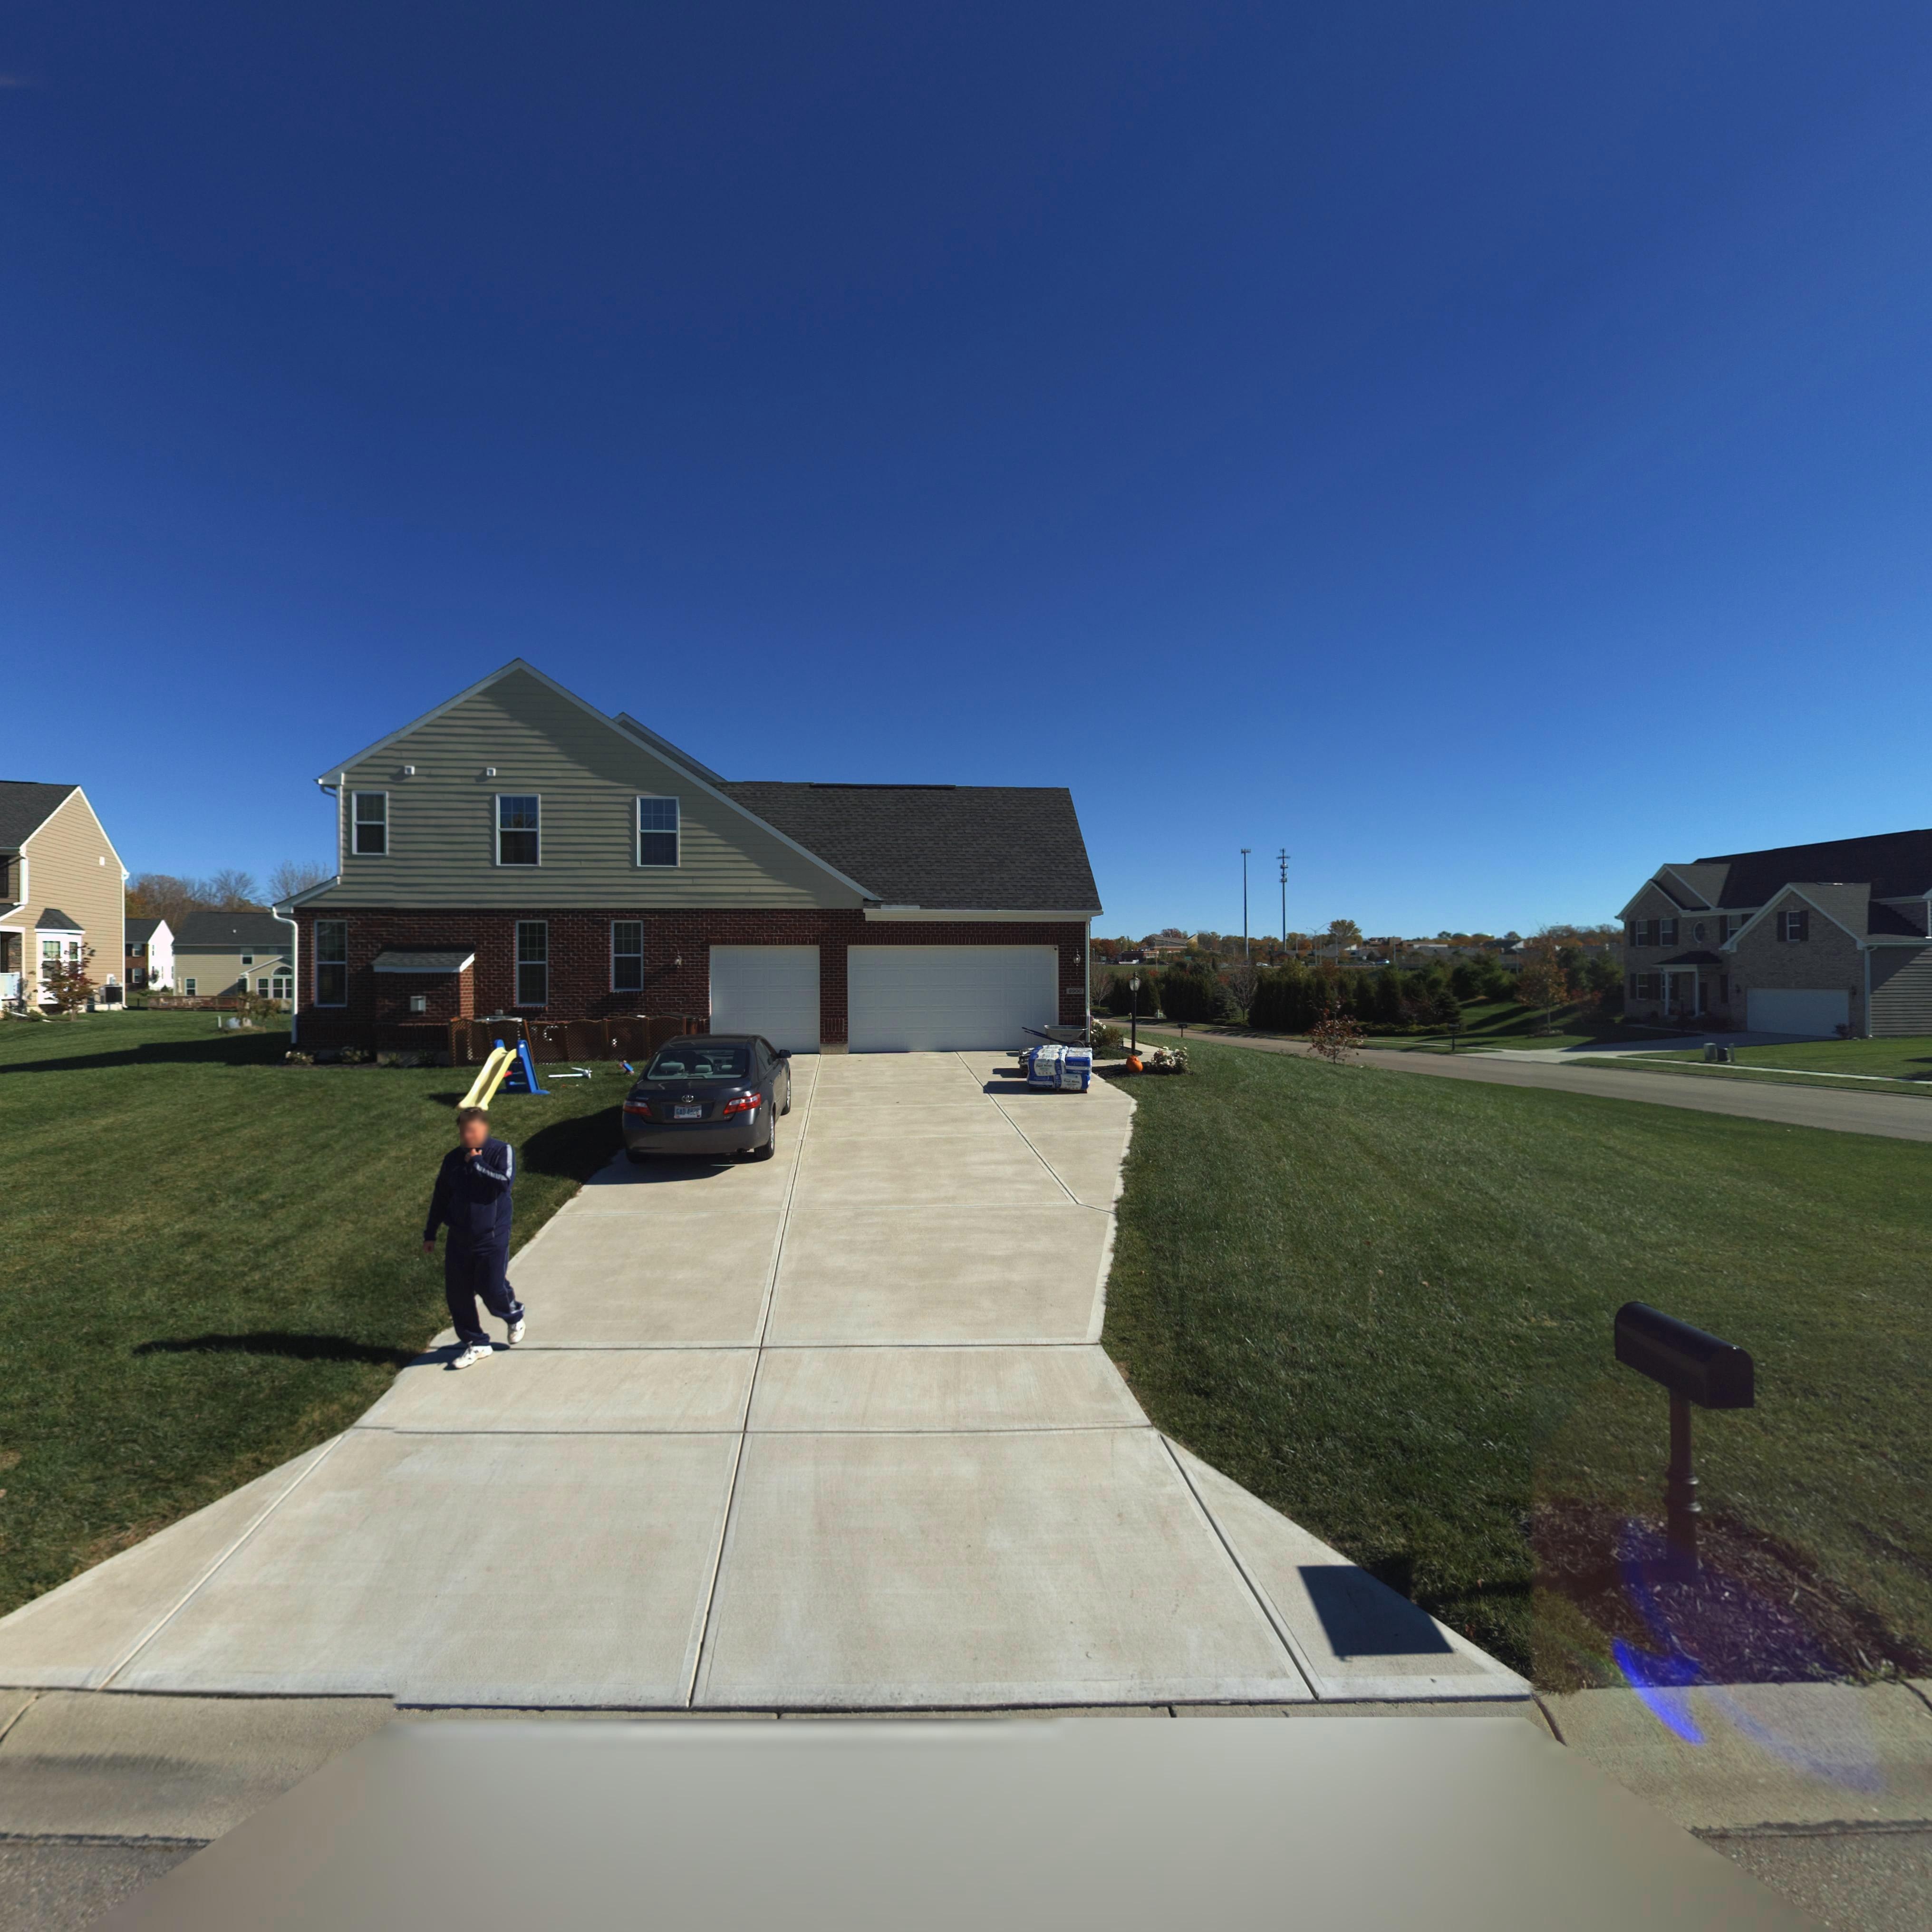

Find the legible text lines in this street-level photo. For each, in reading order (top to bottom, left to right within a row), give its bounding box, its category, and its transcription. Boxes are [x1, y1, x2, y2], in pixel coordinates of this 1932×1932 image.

[1068, 988, 1083, 994] StreetNumber: 6900
[676, 1107, 700, 1115] None: GAD*4826